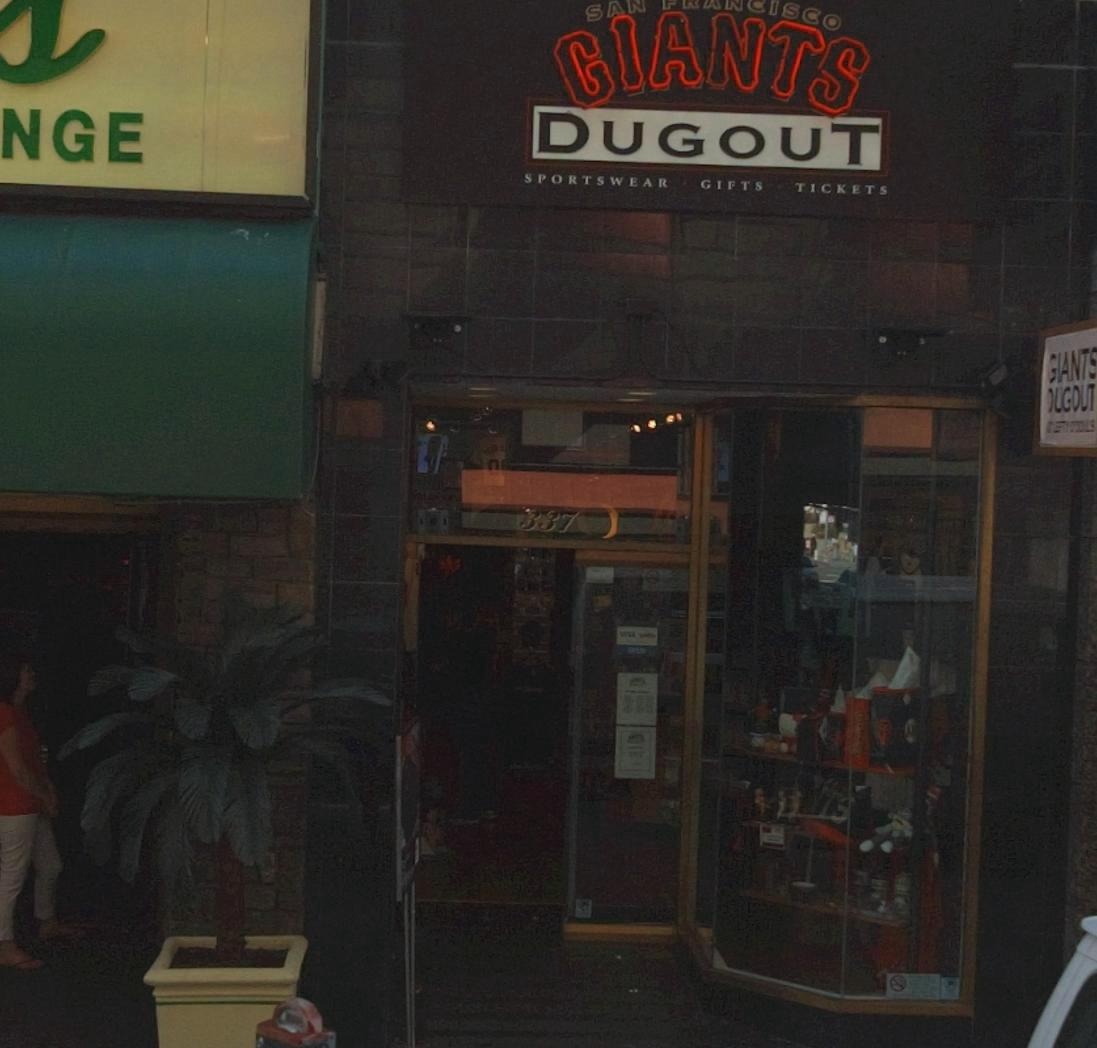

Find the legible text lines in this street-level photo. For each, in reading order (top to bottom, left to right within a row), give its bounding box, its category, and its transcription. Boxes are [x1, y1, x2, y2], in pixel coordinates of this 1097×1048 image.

[584, 0, 626, 25] None: SA
[779, 1, 843, 33] None: SCO
[549, 9, 874, 119] BusinessName: GIANTS
[0, 106, 146, 166] BusinessName: NGE
[534, 109, 883, 167] BusinessName: DUGOUT
[523, 170, 890, 198] None: SPORTSWEAR * GIFTS * TICKETS
[1044, 347, 1091, 385] BusinessName: GIANT
[1045, 382, 1096, 414] BusinessName: DUGOUT
[515, 507, 582, 536] StreetNumber: 337